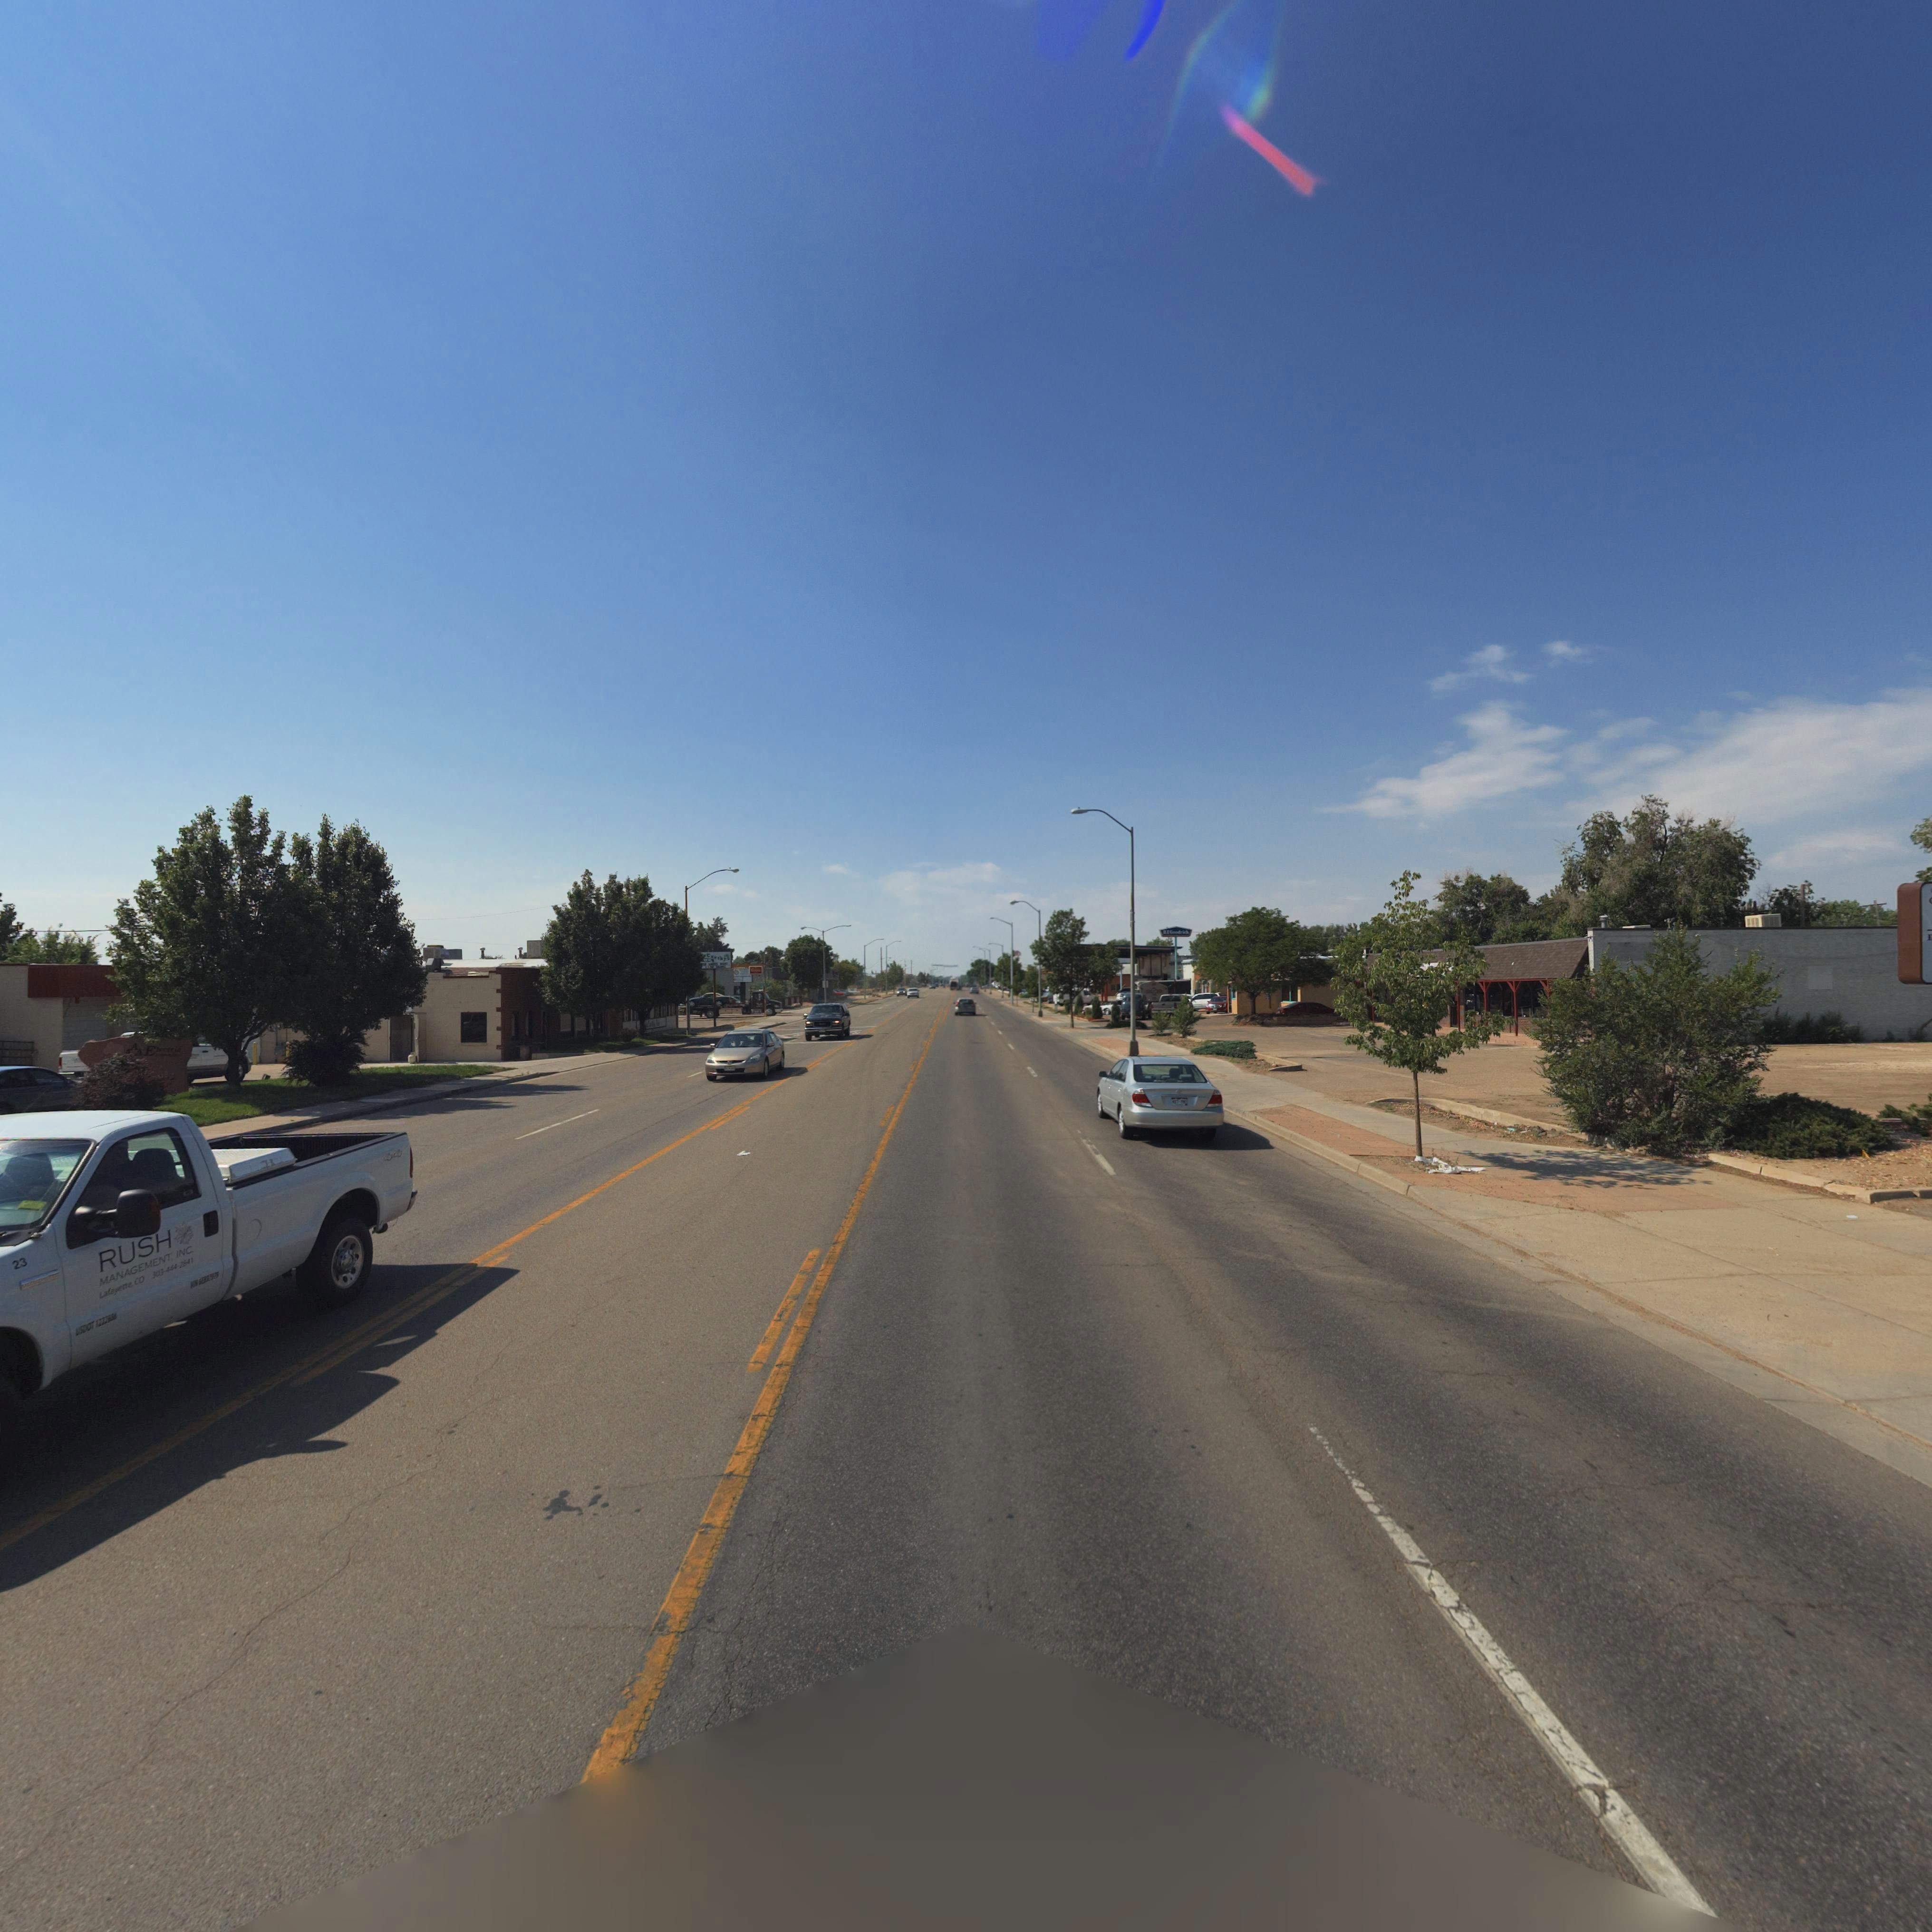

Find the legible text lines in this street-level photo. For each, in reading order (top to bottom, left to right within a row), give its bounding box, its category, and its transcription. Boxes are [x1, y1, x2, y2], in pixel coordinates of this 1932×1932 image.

[1163, 929, 1188, 934] BusinessName: b i G**d*i*h